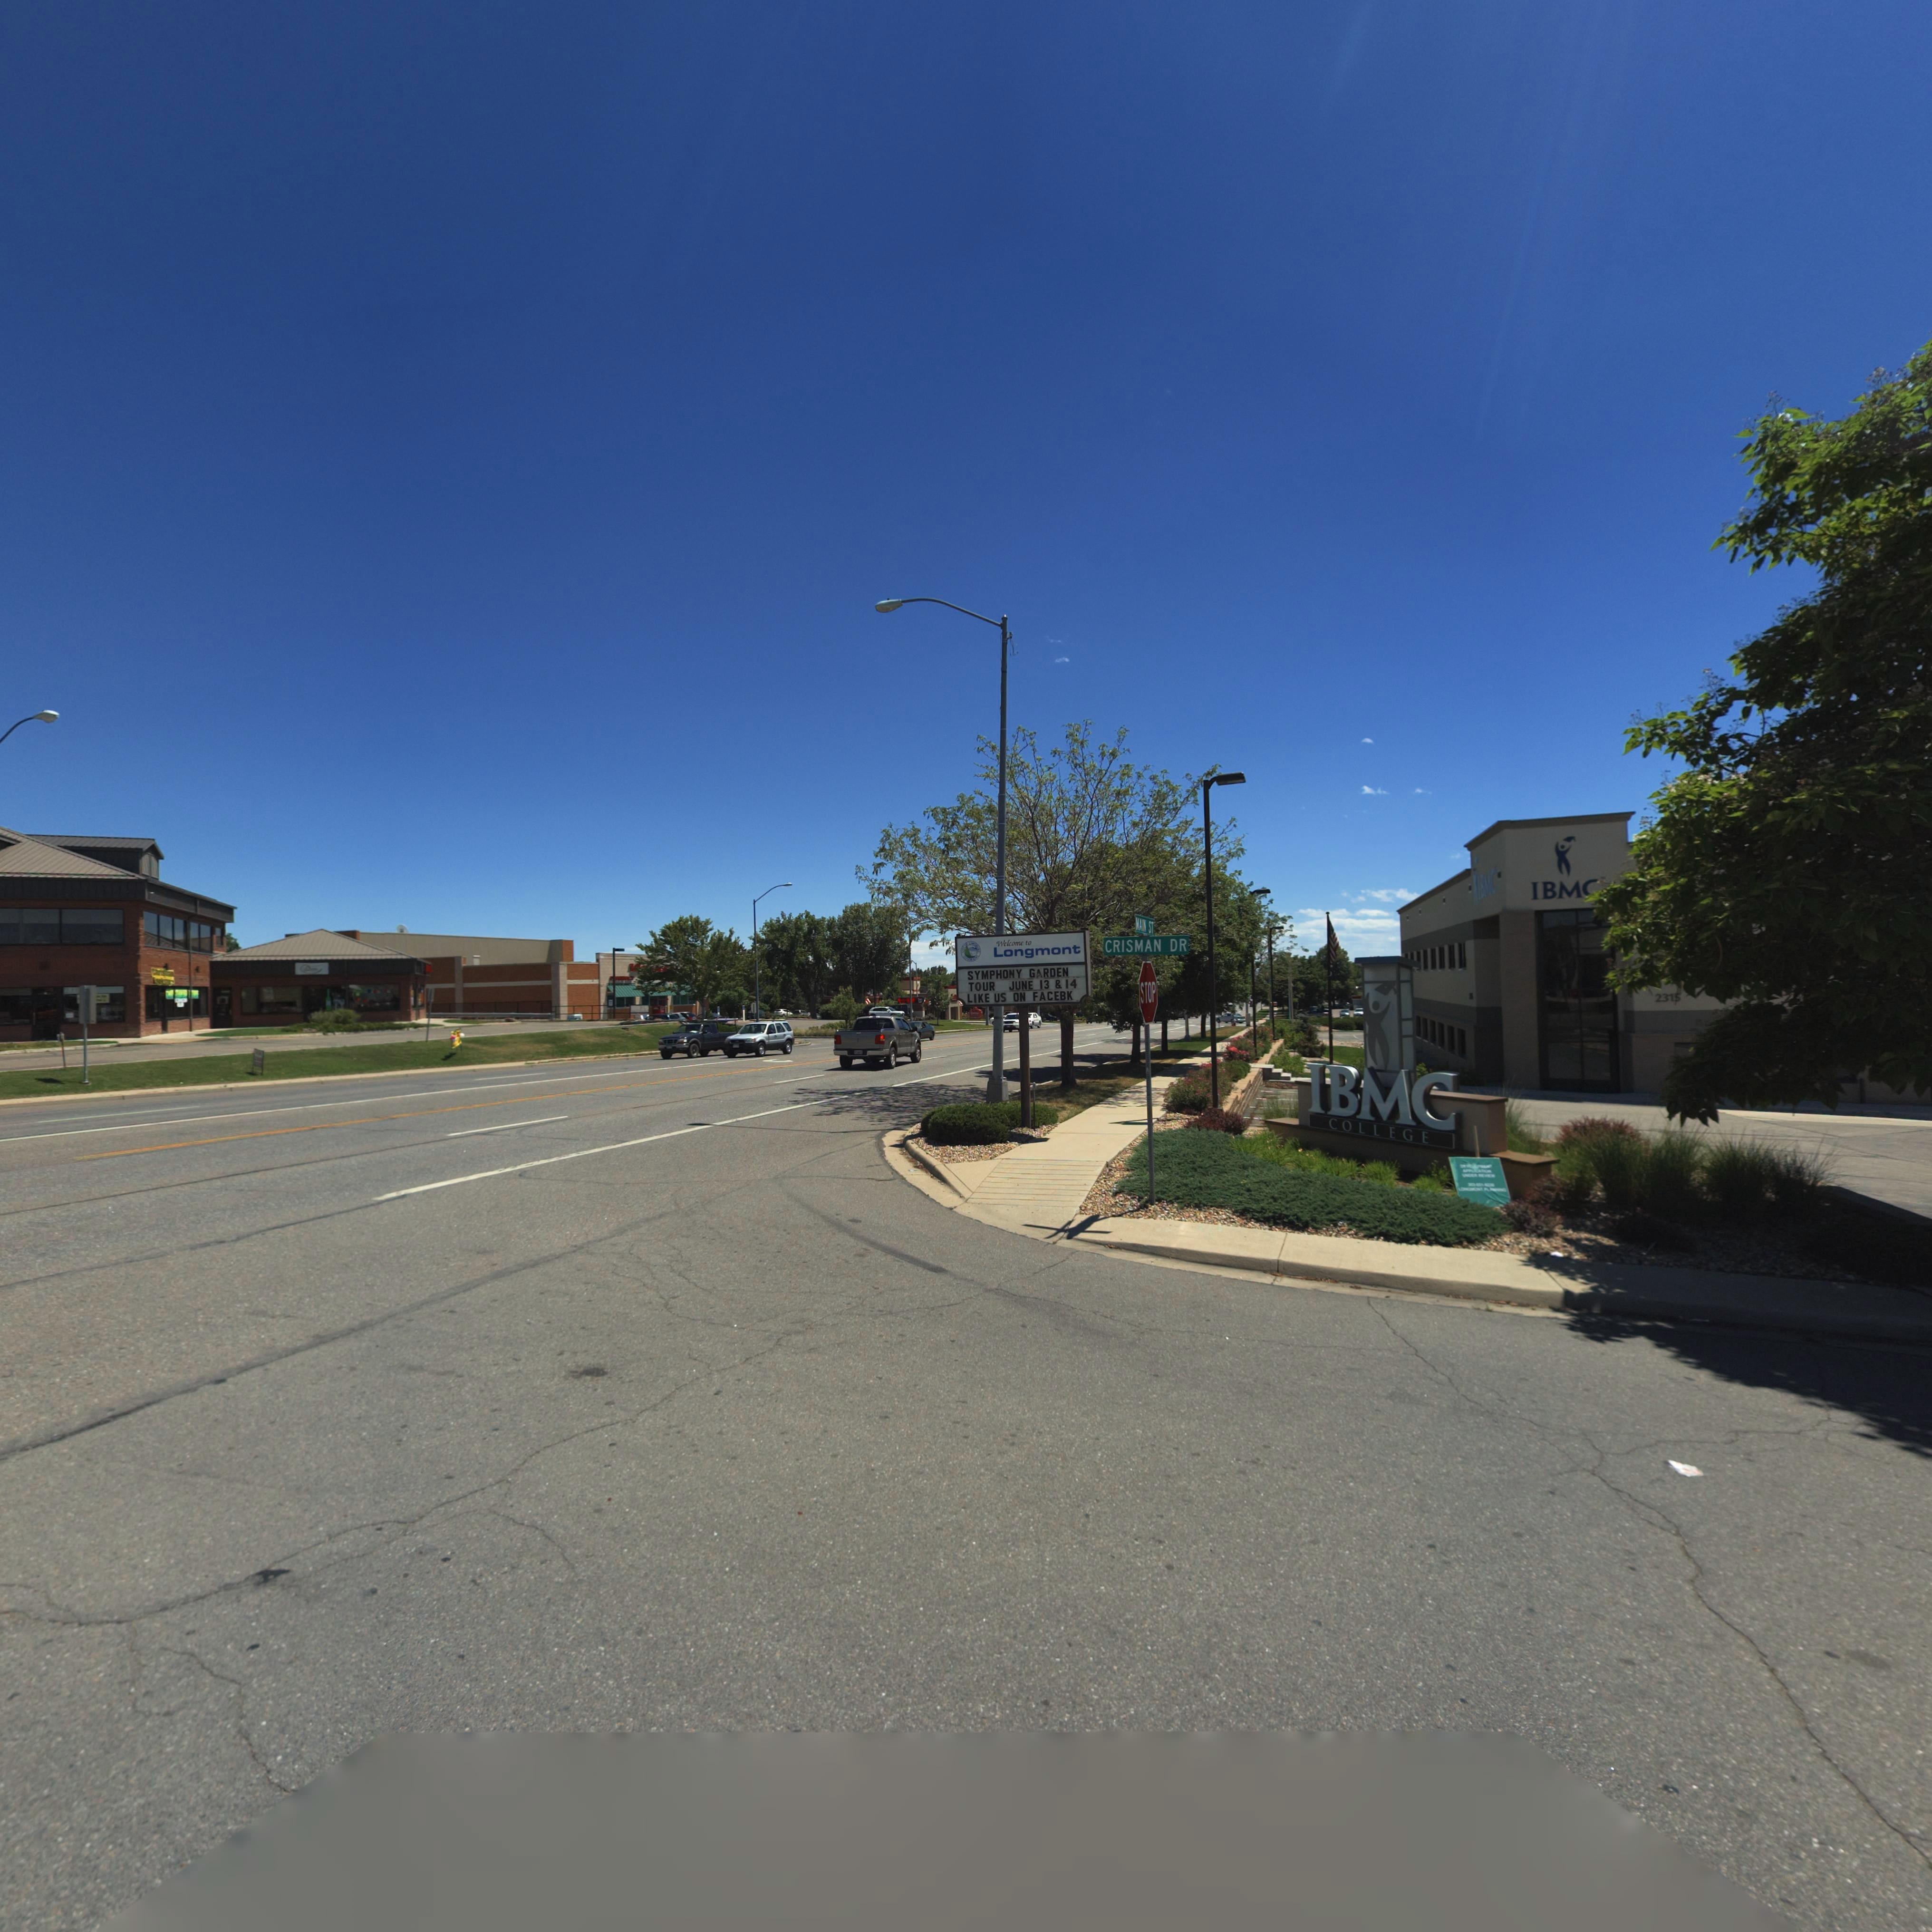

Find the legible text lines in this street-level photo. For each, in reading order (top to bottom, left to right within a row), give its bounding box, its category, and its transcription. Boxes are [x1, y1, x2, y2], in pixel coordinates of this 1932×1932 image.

[1471, 866, 1498, 902] BusinessName: IBMC
[1529, 878, 1601, 900] BusinessName: IBM*
[1135, 917, 1154, 934] StreetName: MAIN ST
[1104, 937, 1187, 954] StreetName: CRISMAN DR
[629, 963, 638, 972] BusinessName: W
[1654, 991, 1681, 1003] StreetNumber: 2315
[1303, 1061, 1461, 1132] BusinessName: IBMC
[1327, 1116, 1431, 1145] BusinessName: COLLEGE